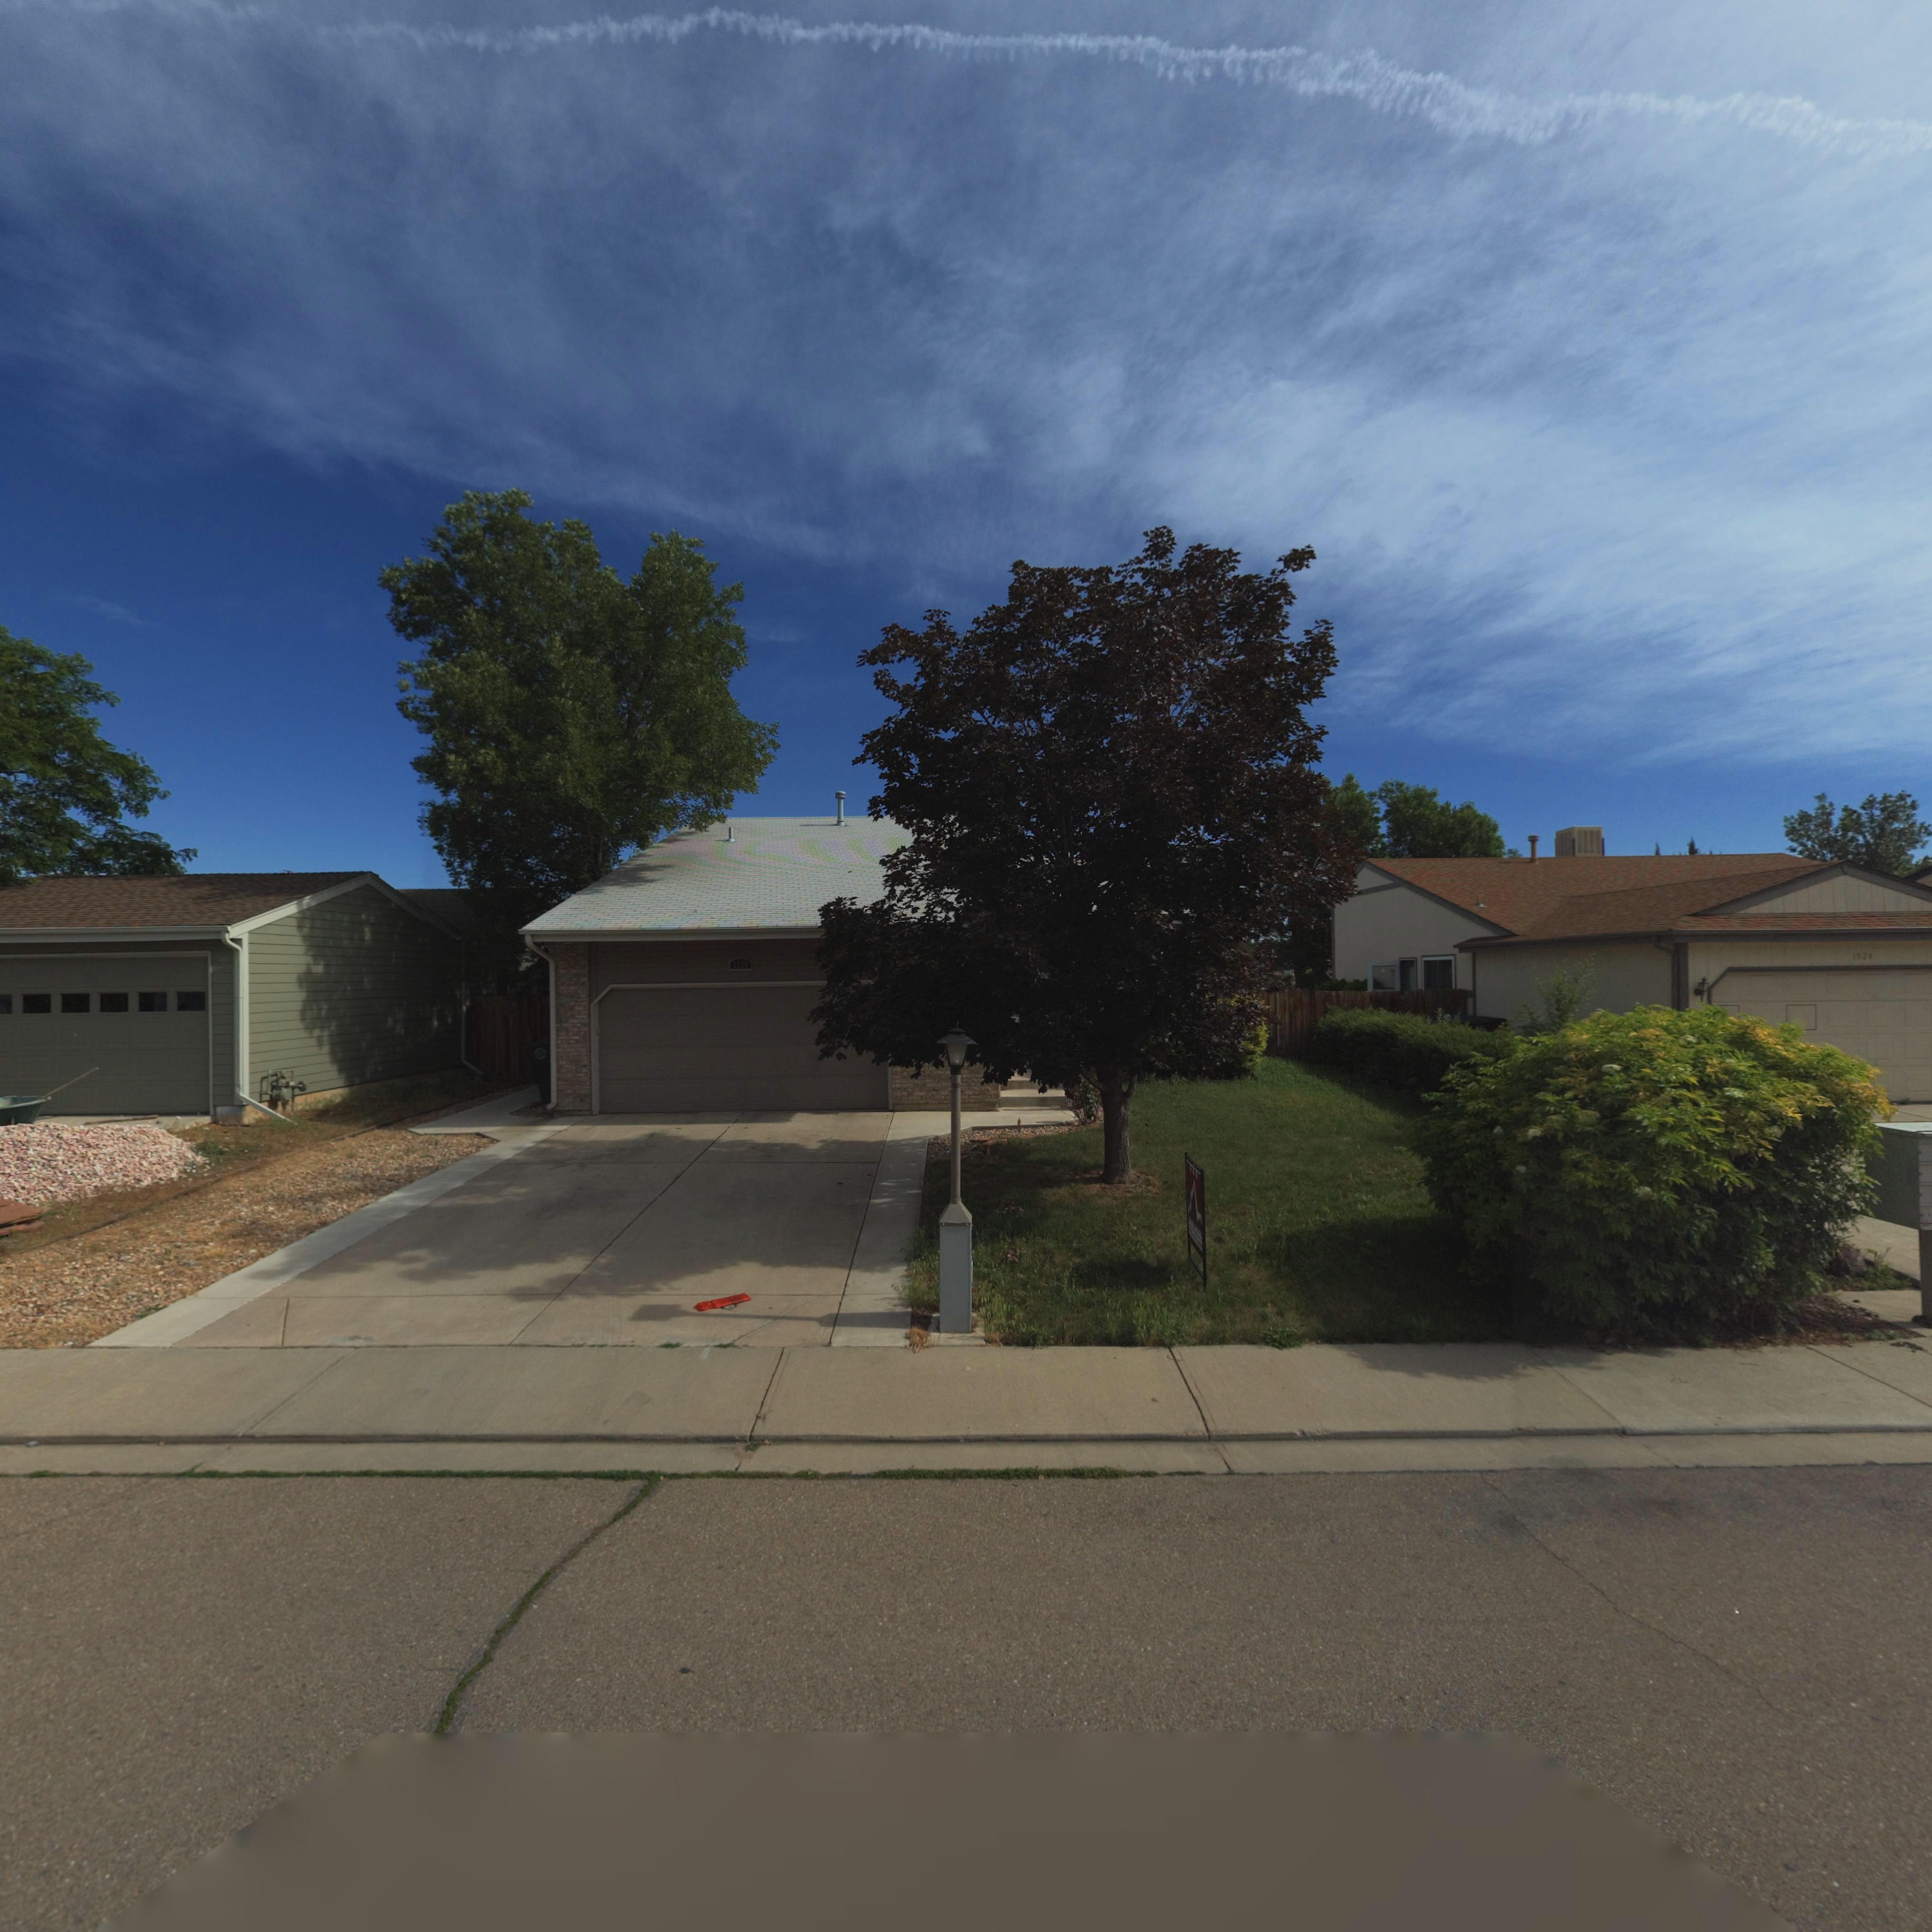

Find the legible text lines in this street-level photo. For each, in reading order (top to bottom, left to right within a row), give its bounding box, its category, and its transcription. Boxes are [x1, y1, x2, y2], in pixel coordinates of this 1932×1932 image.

[1852, 952, 1872, 960] StreetNumber: 152*
[733, 960, 748, 968] StreetNumber: 153*